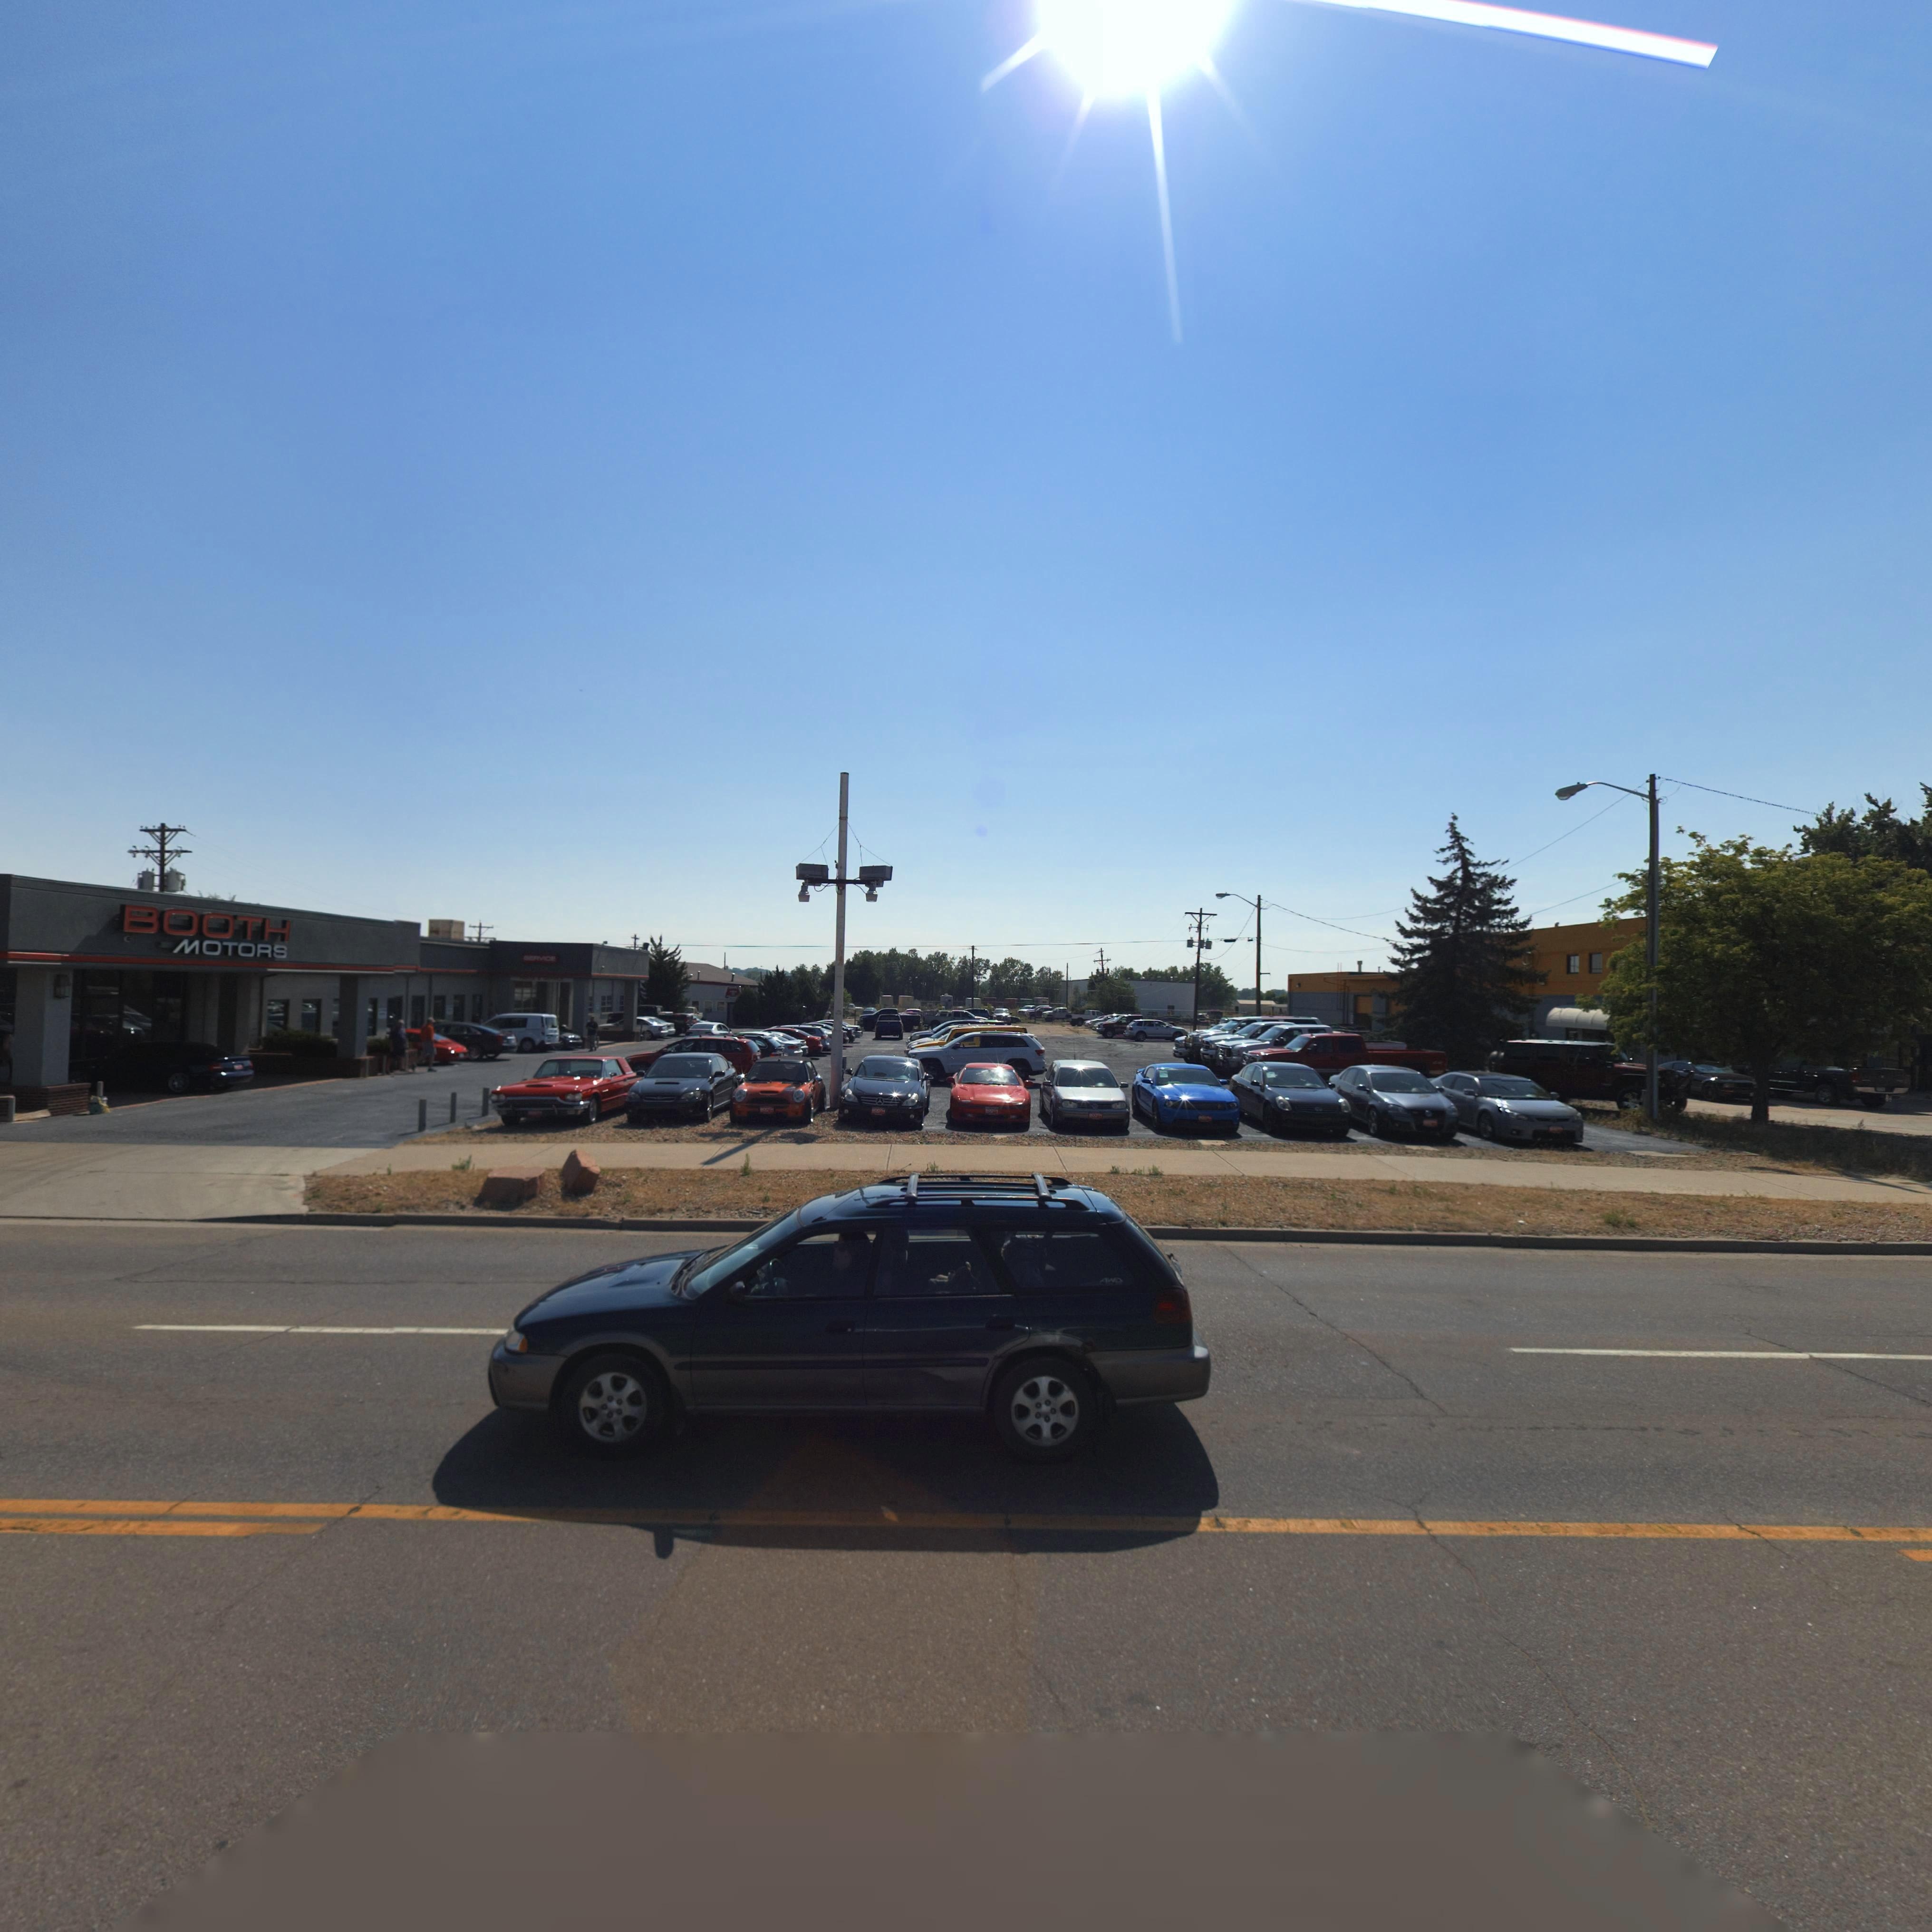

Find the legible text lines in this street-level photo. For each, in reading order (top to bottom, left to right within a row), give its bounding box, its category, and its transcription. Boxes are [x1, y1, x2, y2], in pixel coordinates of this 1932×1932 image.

[124, 904, 290, 943] BusinessName: BOOTH
[172, 938, 288, 959] BusinessName: MOTORS